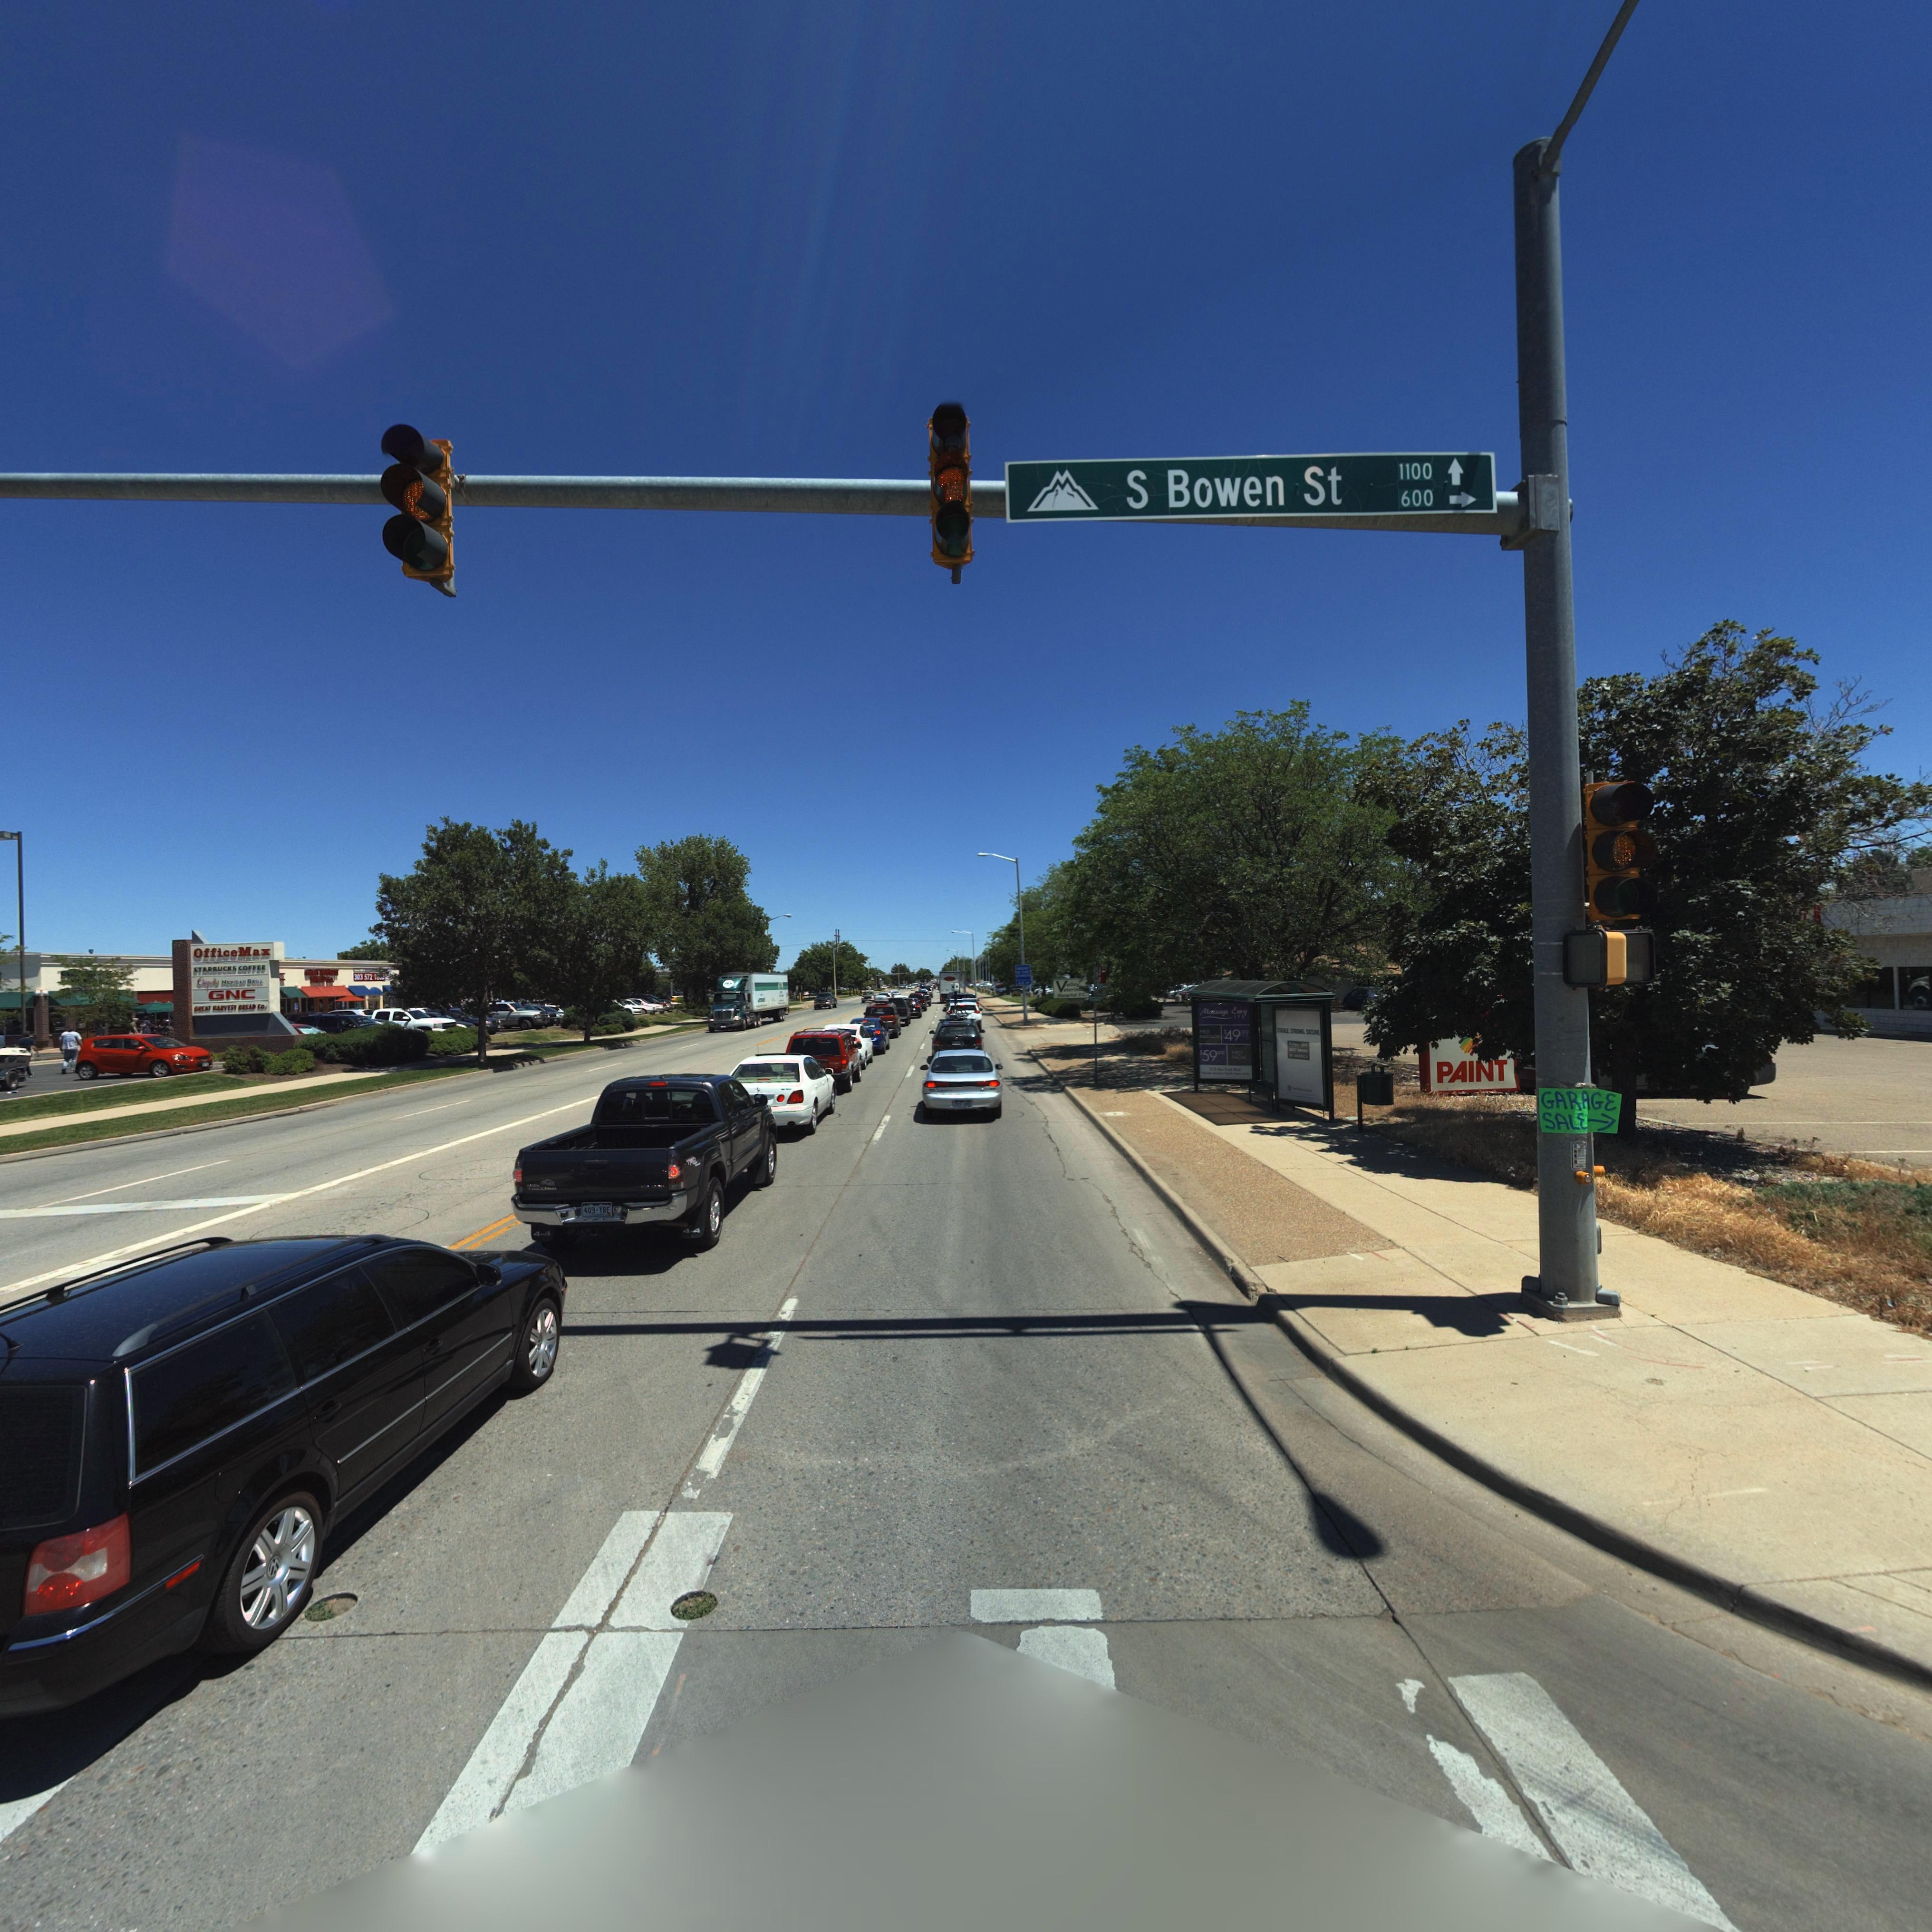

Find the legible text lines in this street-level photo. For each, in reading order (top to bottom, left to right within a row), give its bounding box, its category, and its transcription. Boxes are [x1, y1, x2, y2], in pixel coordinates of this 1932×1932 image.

[1398, 461, 1434, 480] StreetNumberRange: 1100
[1124, 464, 1345, 511] StreetName: S Bowen St
[1400, 489, 1478, 509] StreetNumberRange: 600 ->
[193, 947, 270, 958] BusinessName: Office Max
[193, 965, 266, 972] BusinessName: STARBUCKS COFFEE
[197, 977, 263, 989] BusinessName: Chip**** M***CAN G**LL
[208, 989, 255, 1000] BusinessName: GNC
[1057, 992, 1087, 997] BusinessName: Hospital P.C.
[1066, 981, 1079, 987] BusinessName: alley
[1063, 987, 1088, 992] BusinessName: eter*****
[193, 1003, 264, 1011] BusinessName: G**AT *A*VE*T BREAD CO
[1436, 1059, 1507, 1083] BusinessName: PAINT